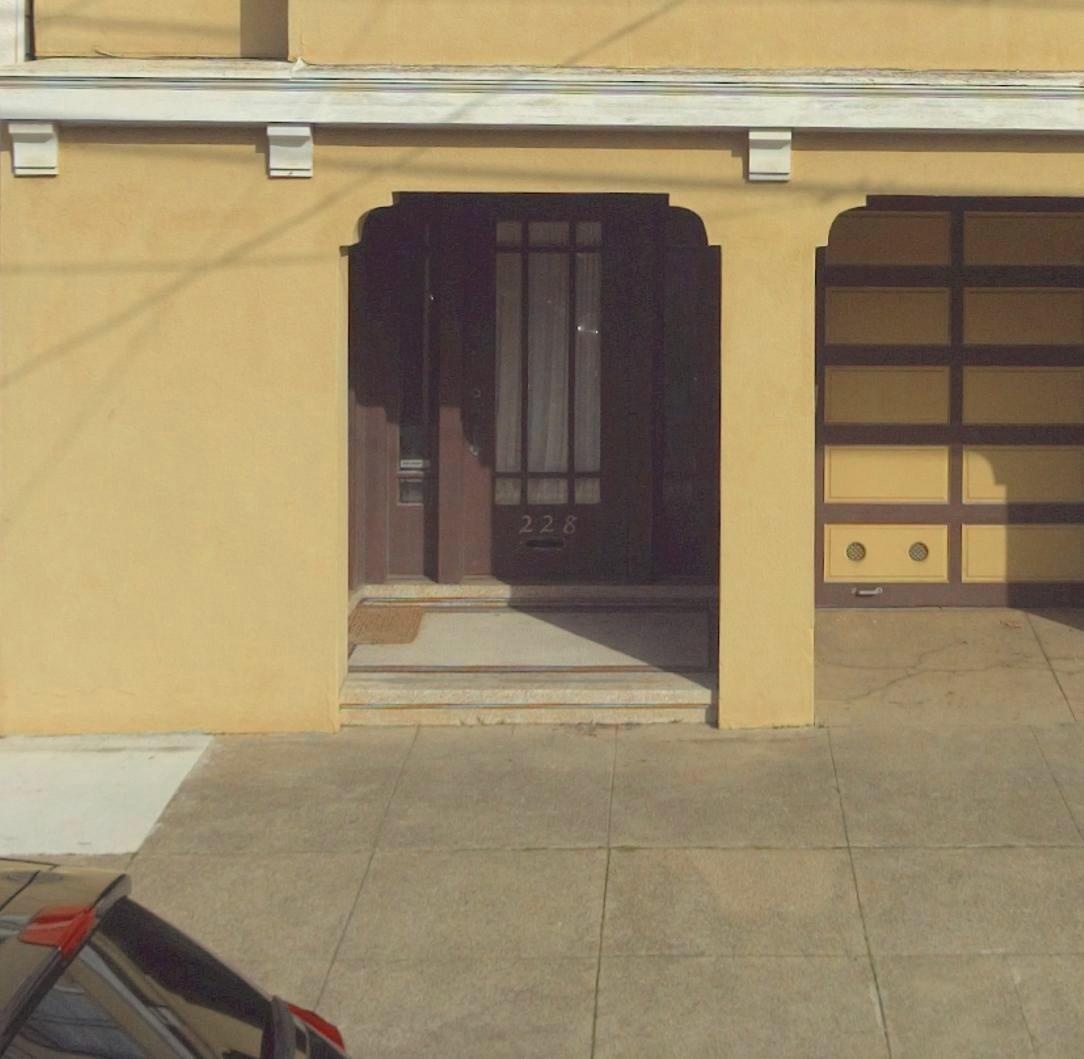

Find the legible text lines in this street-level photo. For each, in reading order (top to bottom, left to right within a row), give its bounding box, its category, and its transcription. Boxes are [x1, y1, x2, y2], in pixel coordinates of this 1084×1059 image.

[517, 513, 579, 535] StreetNumber: 228